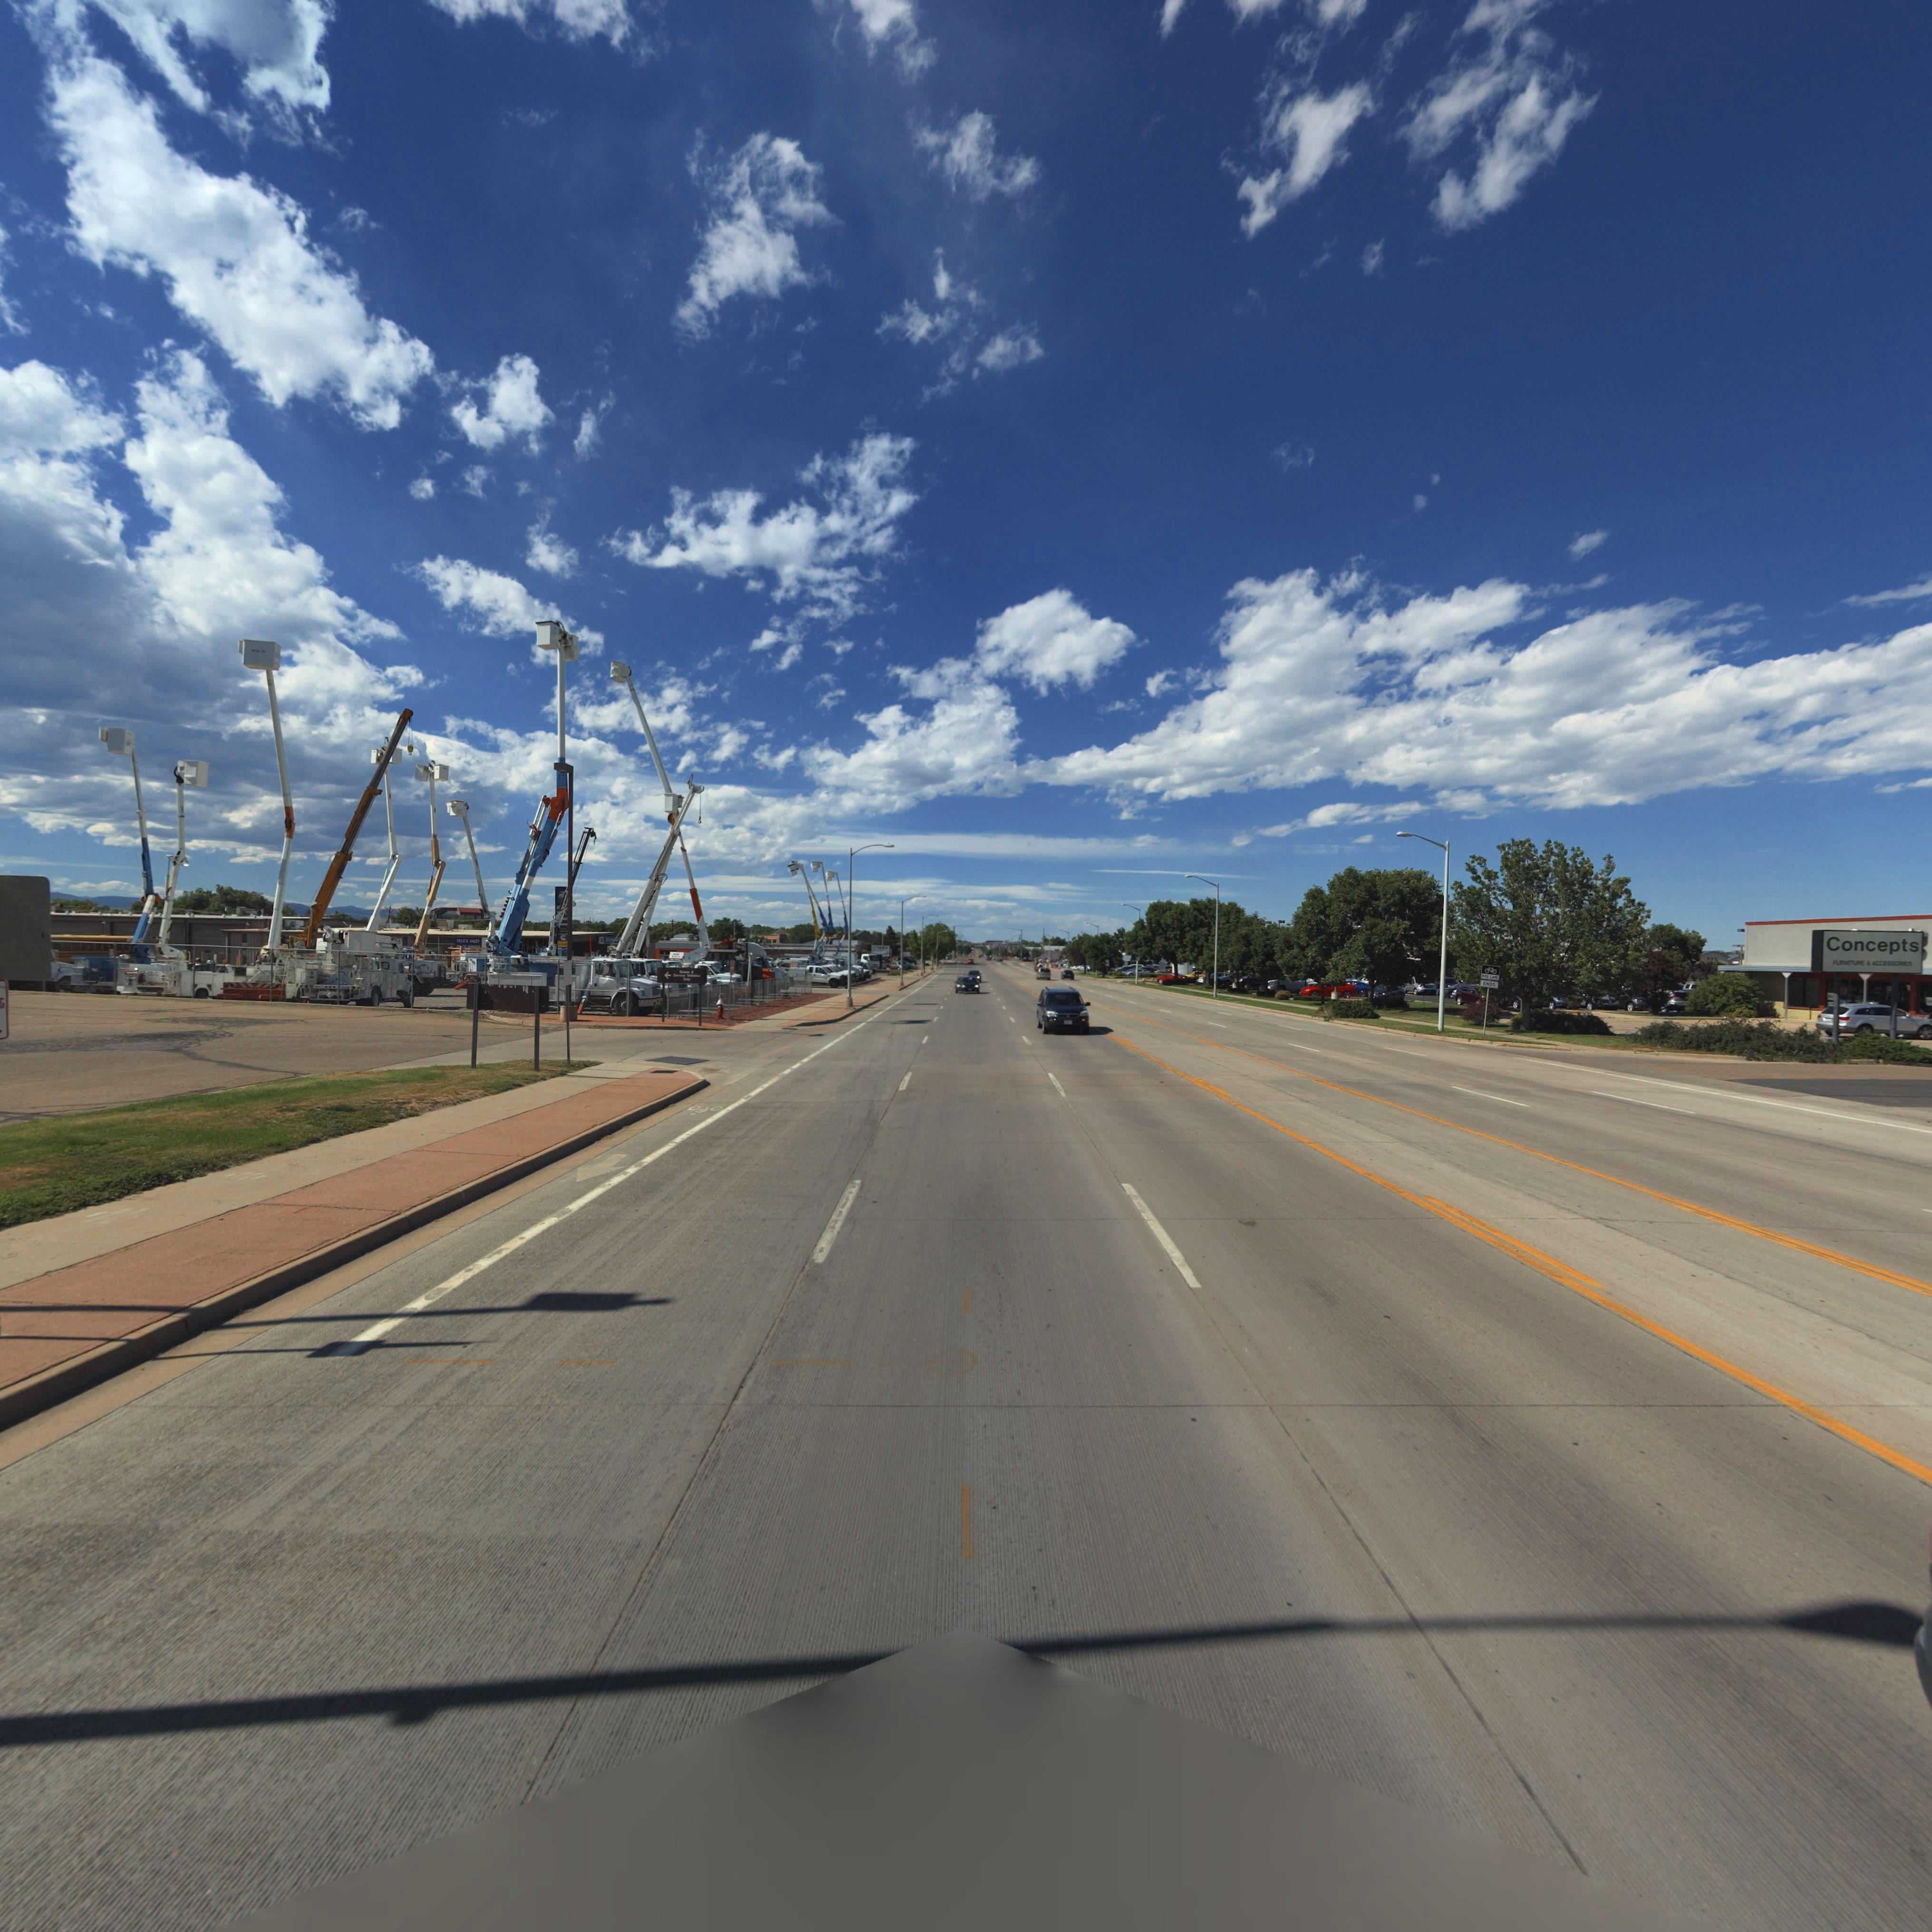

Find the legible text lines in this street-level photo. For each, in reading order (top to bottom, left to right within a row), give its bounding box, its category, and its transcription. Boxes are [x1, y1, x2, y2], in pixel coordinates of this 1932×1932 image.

[876, 946, 888, 950] BusinessName: *A*
[1826, 935, 1920, 956] BusinessName: Concepts
[1832, 959, 1913, 967] BusinessName: FUR**TURE & ACCE**O**ES